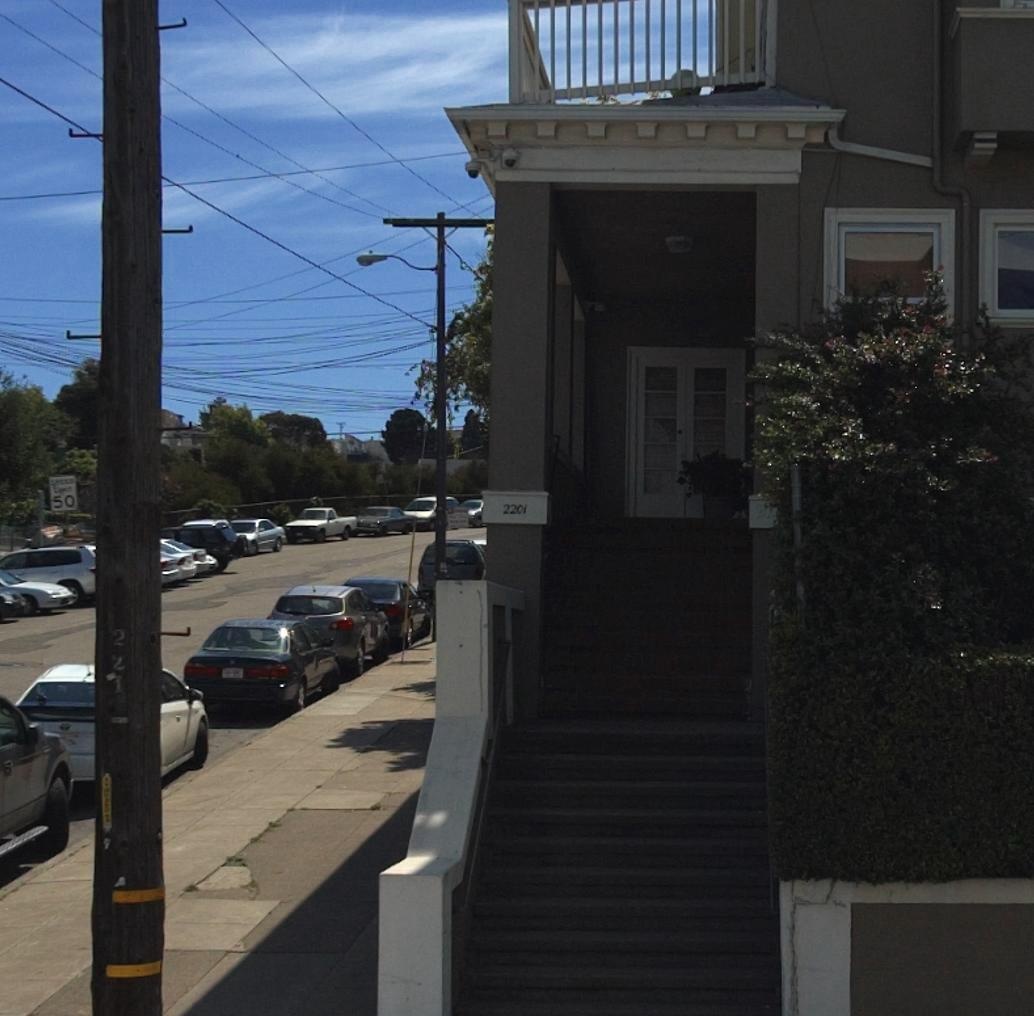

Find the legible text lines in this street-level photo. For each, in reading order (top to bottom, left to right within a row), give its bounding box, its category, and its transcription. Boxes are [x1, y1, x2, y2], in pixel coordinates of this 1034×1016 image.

[52, 495, 76, 510] None: 50
[500, 500, 534, 516] StreetNumber: 2201
[109, 629, 128, 695] None: 221